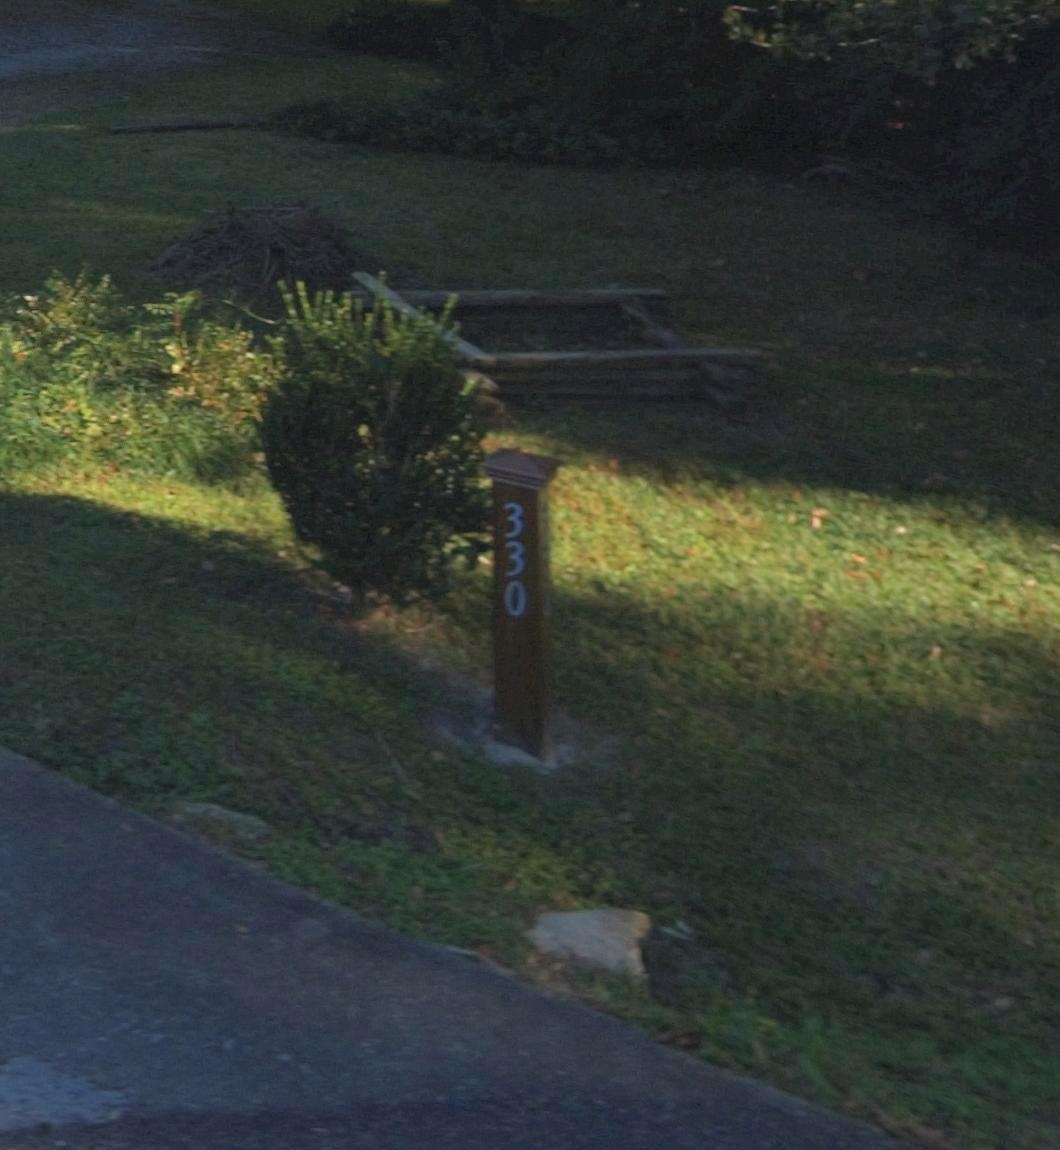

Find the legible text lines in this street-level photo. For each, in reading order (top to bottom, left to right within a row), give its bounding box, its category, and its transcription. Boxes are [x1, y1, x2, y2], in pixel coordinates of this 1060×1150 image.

[500, 498, 529, 619] StreetNumber: 330